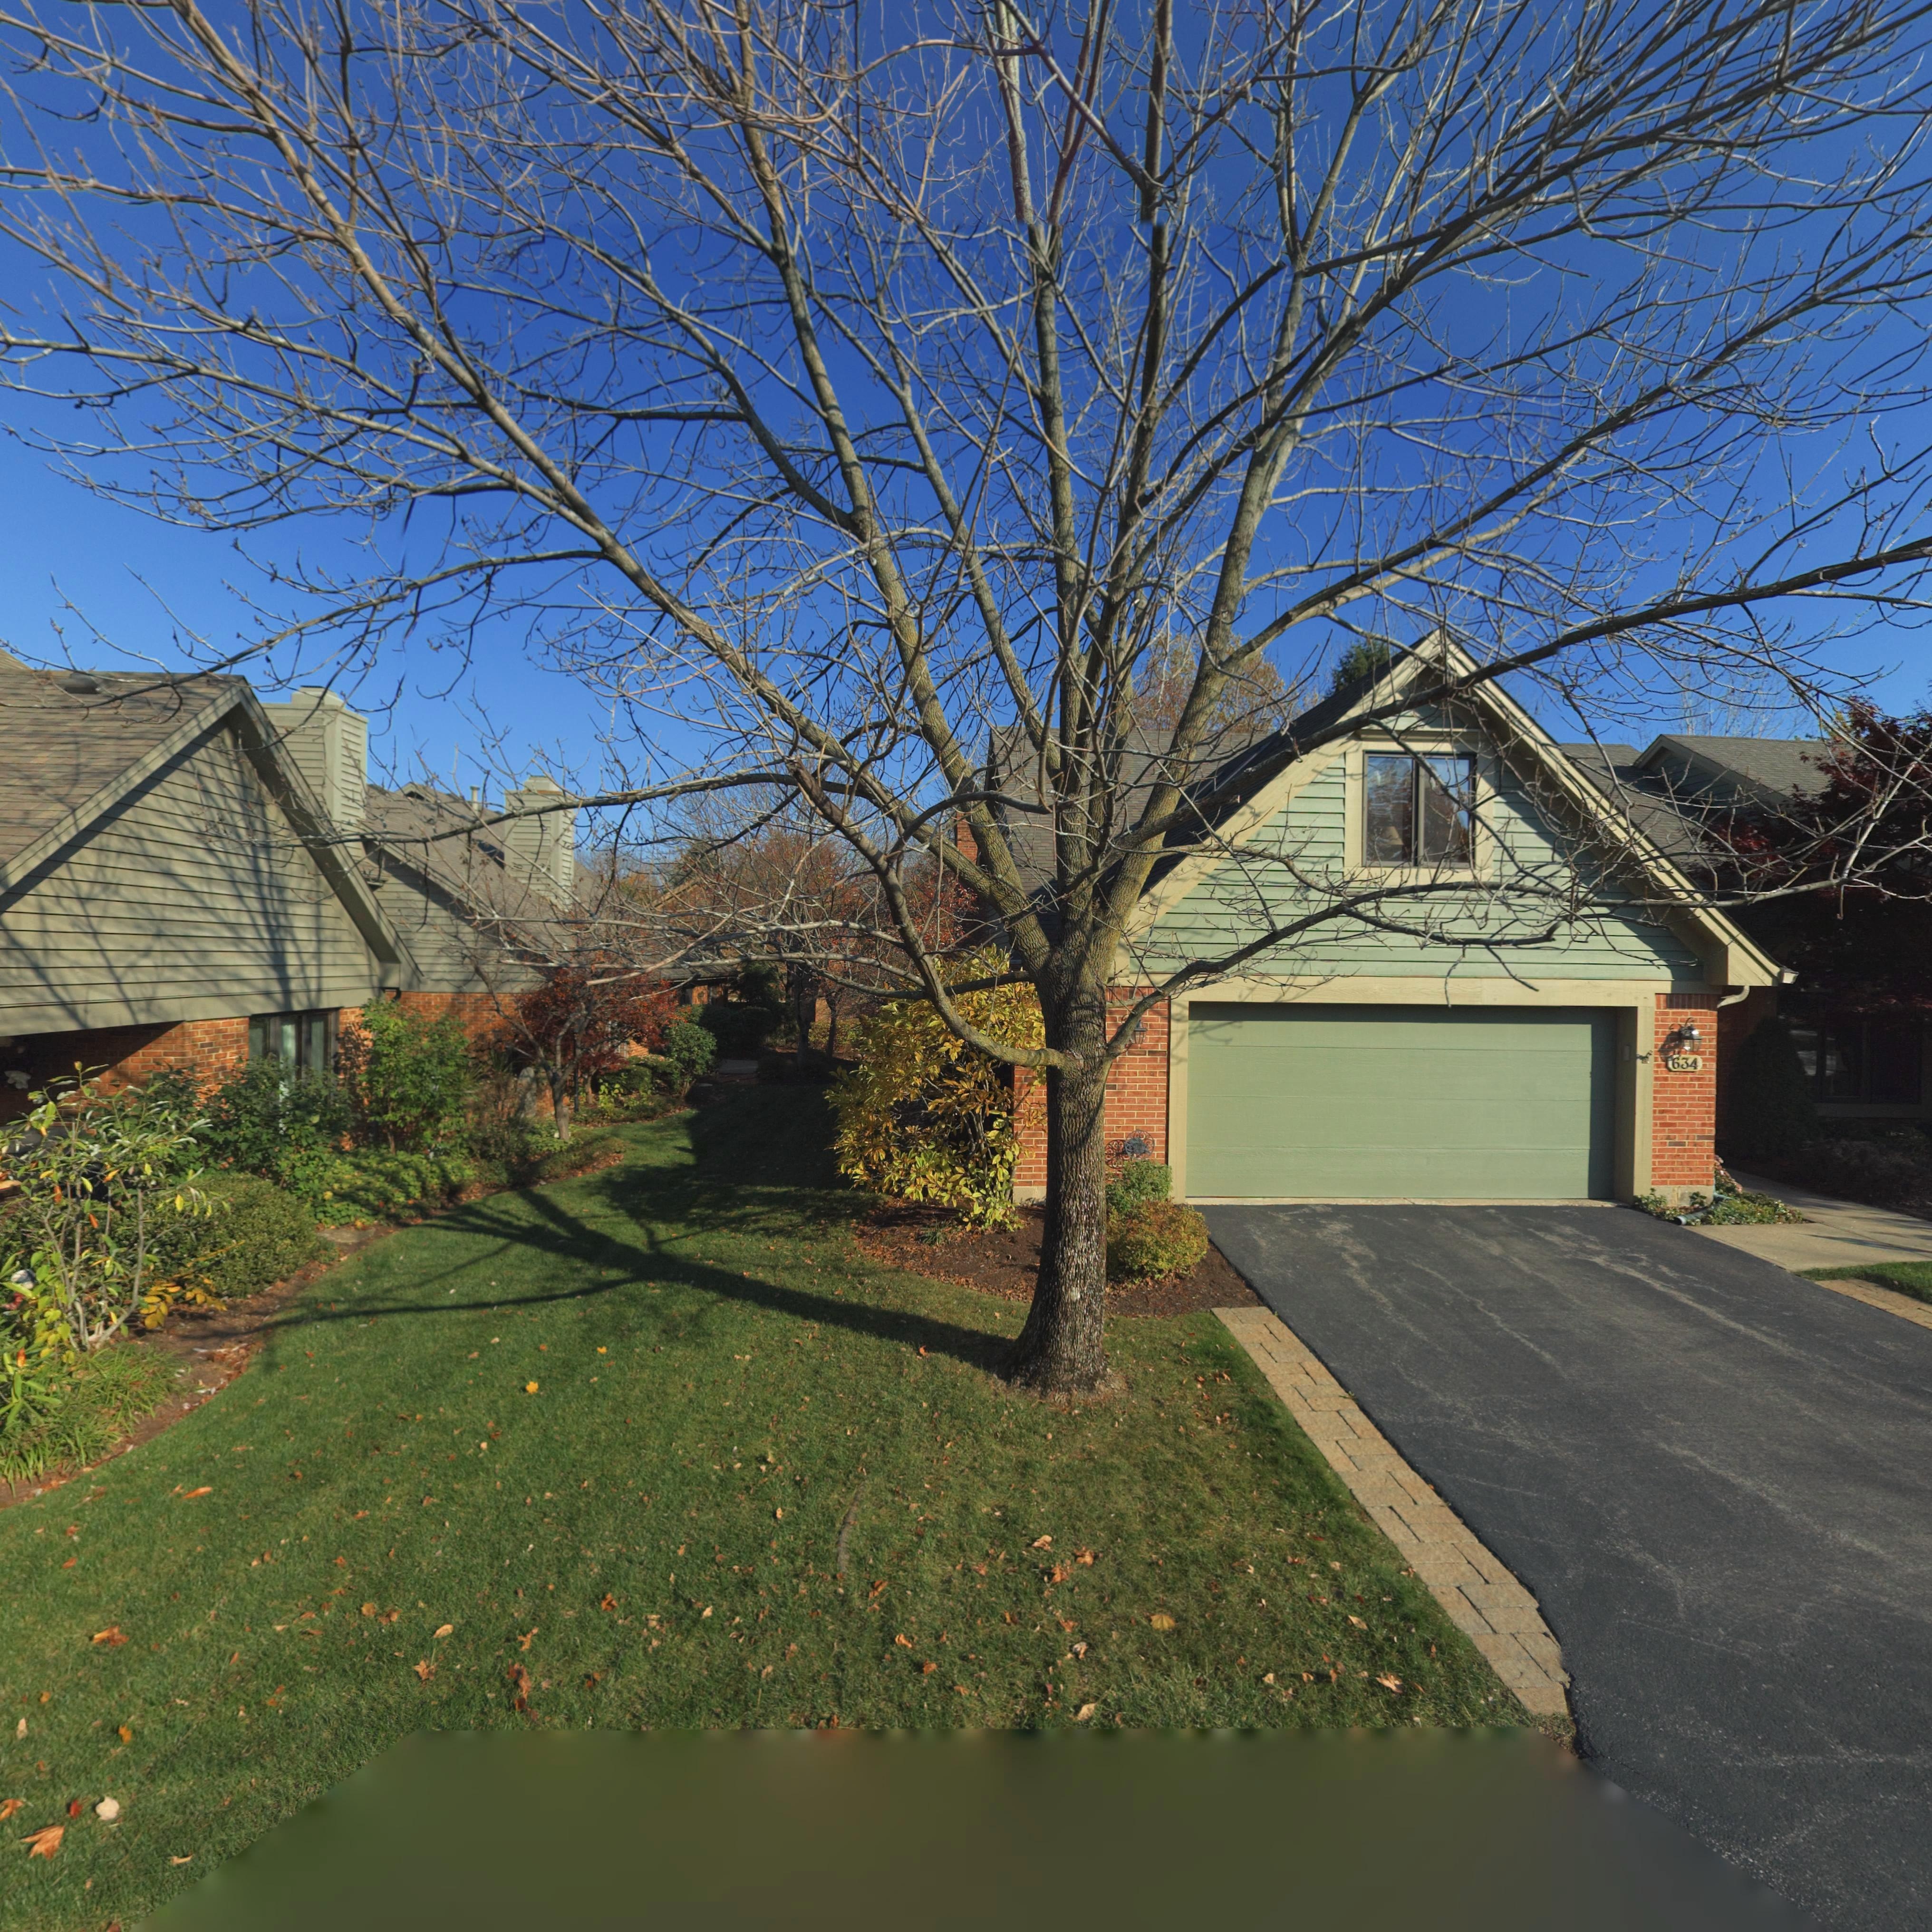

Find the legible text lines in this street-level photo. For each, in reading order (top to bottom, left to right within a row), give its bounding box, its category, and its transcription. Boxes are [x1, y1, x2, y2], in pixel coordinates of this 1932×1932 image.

[1671, 1056, 1700, 1071] StreetNumber: 634